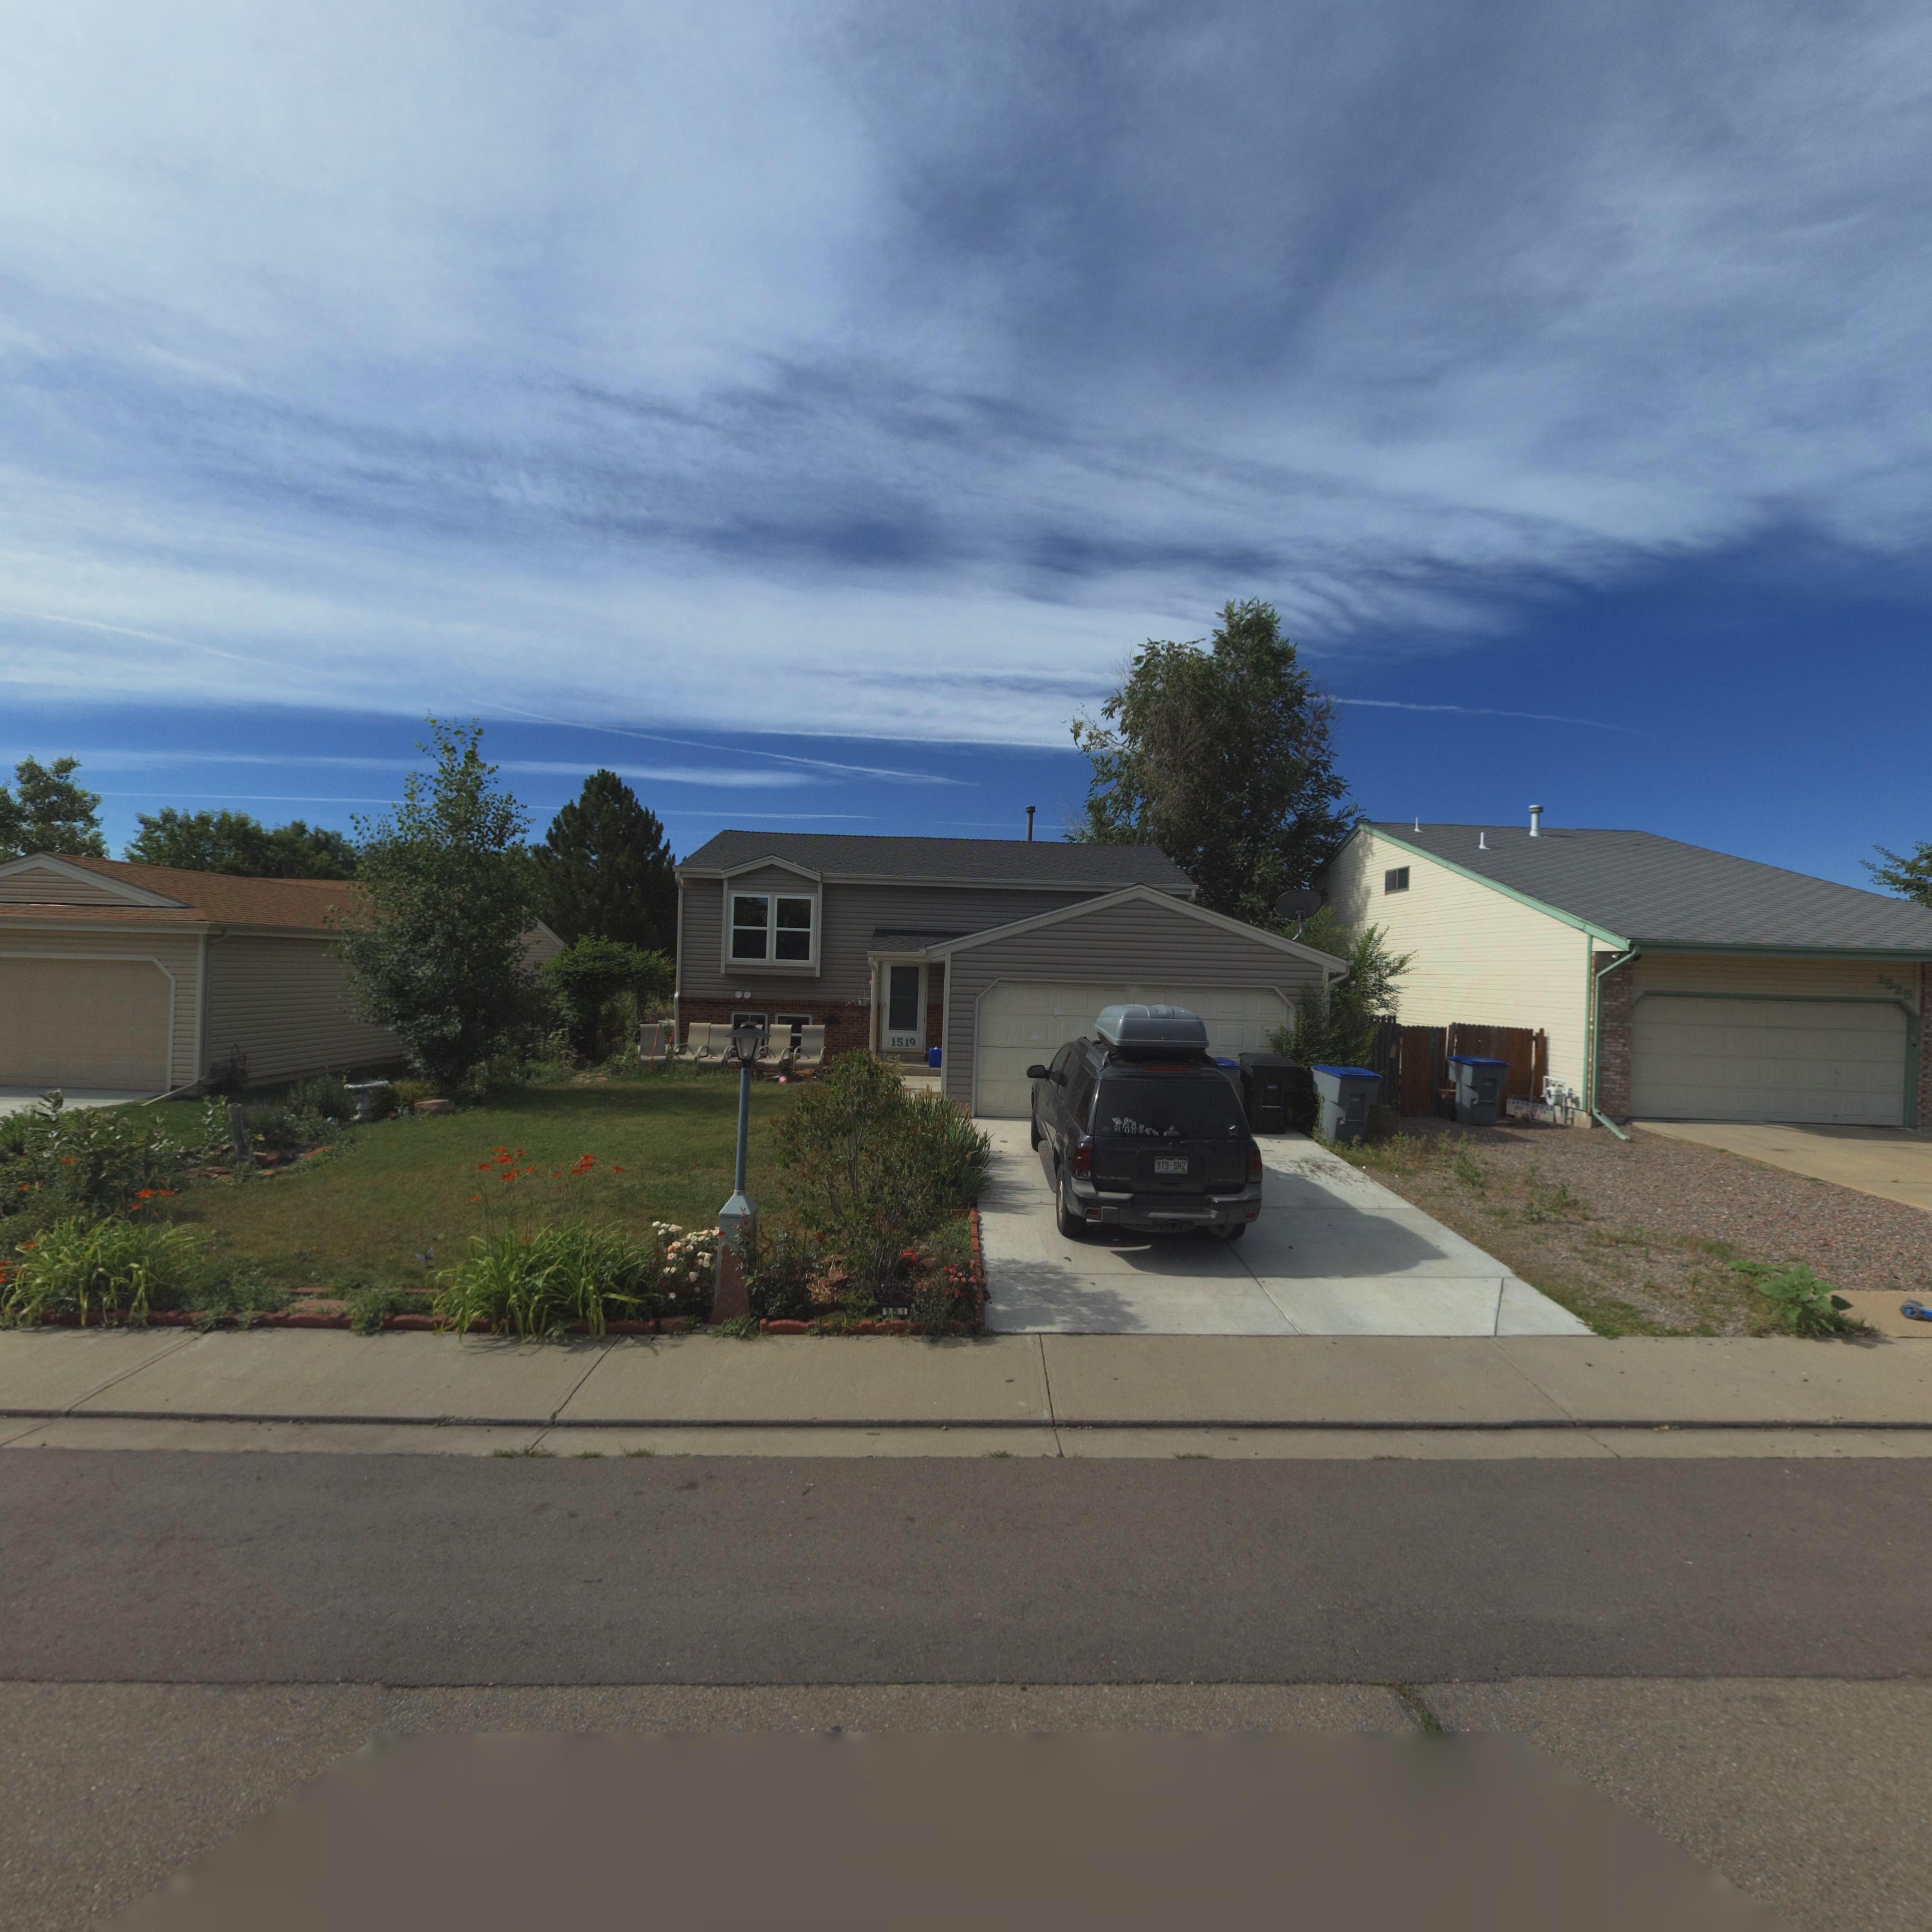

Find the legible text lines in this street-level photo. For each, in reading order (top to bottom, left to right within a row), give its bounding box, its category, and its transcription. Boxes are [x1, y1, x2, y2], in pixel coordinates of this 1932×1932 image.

[1877, 973, 1914, 1001] StreetNumber: 1525
[891, 1037, 915, 1047] StreetNumber: 1519